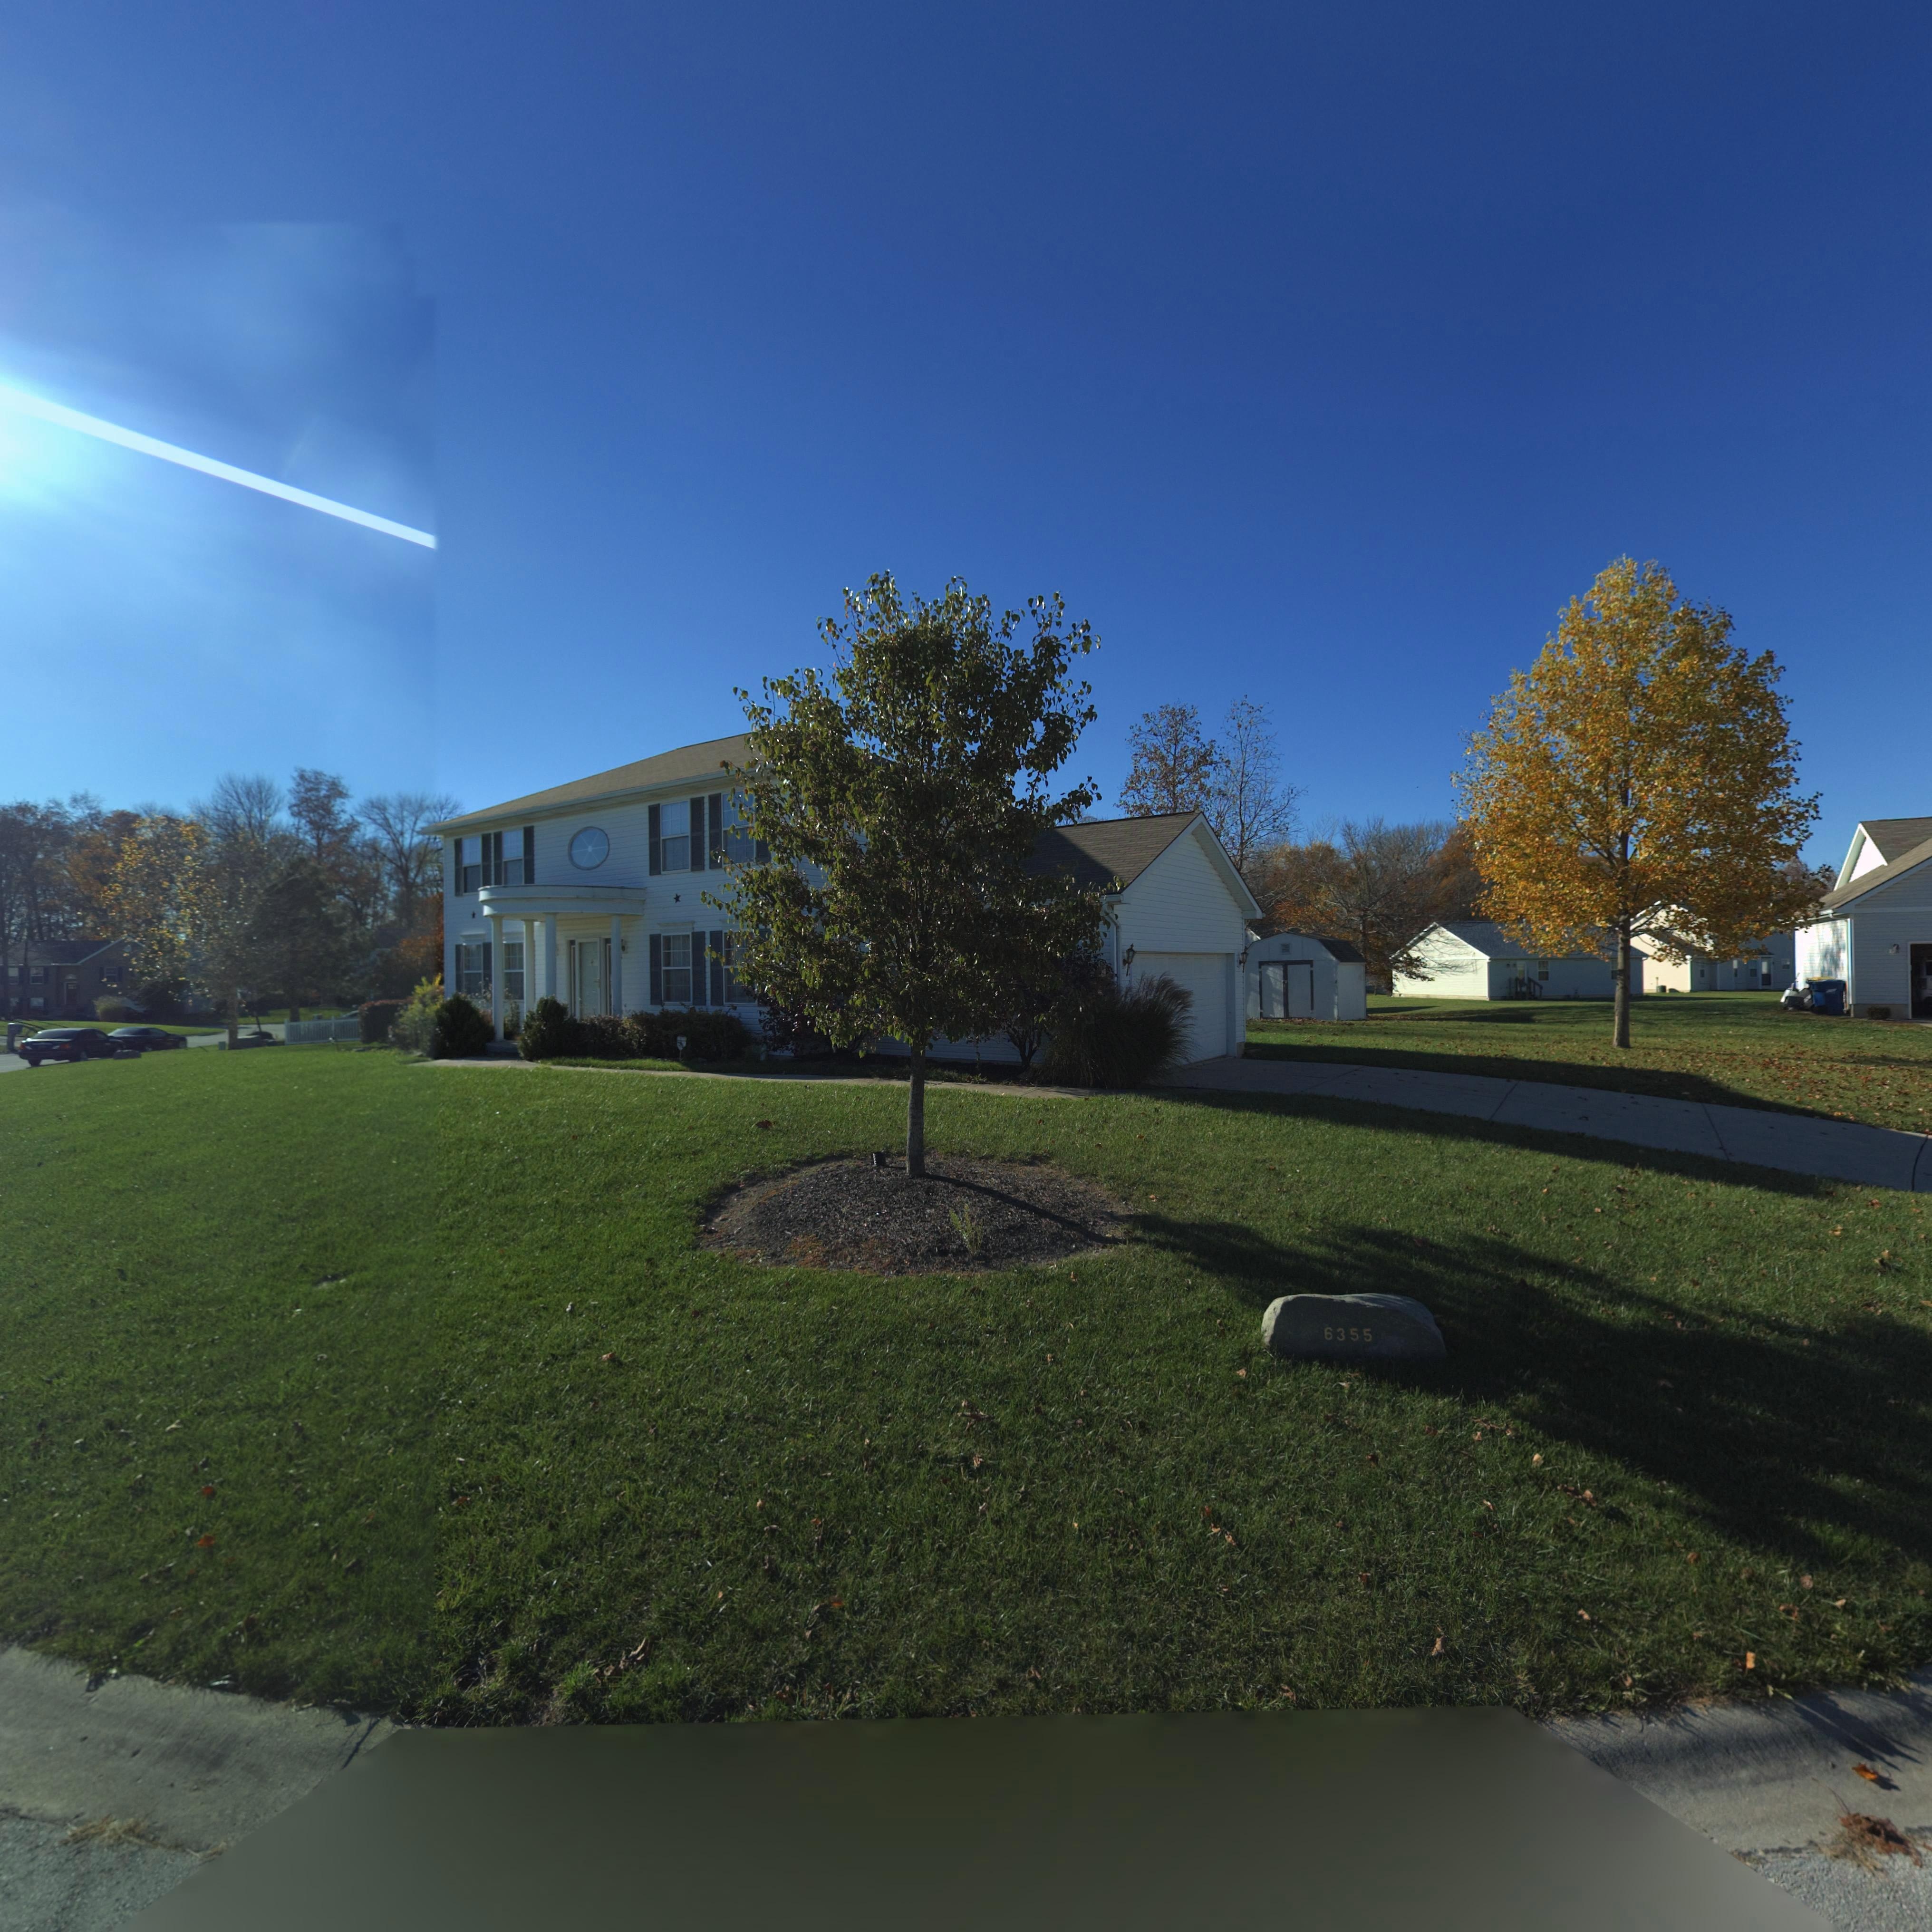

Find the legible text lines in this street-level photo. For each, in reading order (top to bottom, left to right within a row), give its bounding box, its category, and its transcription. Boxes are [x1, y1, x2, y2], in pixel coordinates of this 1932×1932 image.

[1323, 1326, 1373, 1343] StreetNumber: 6355